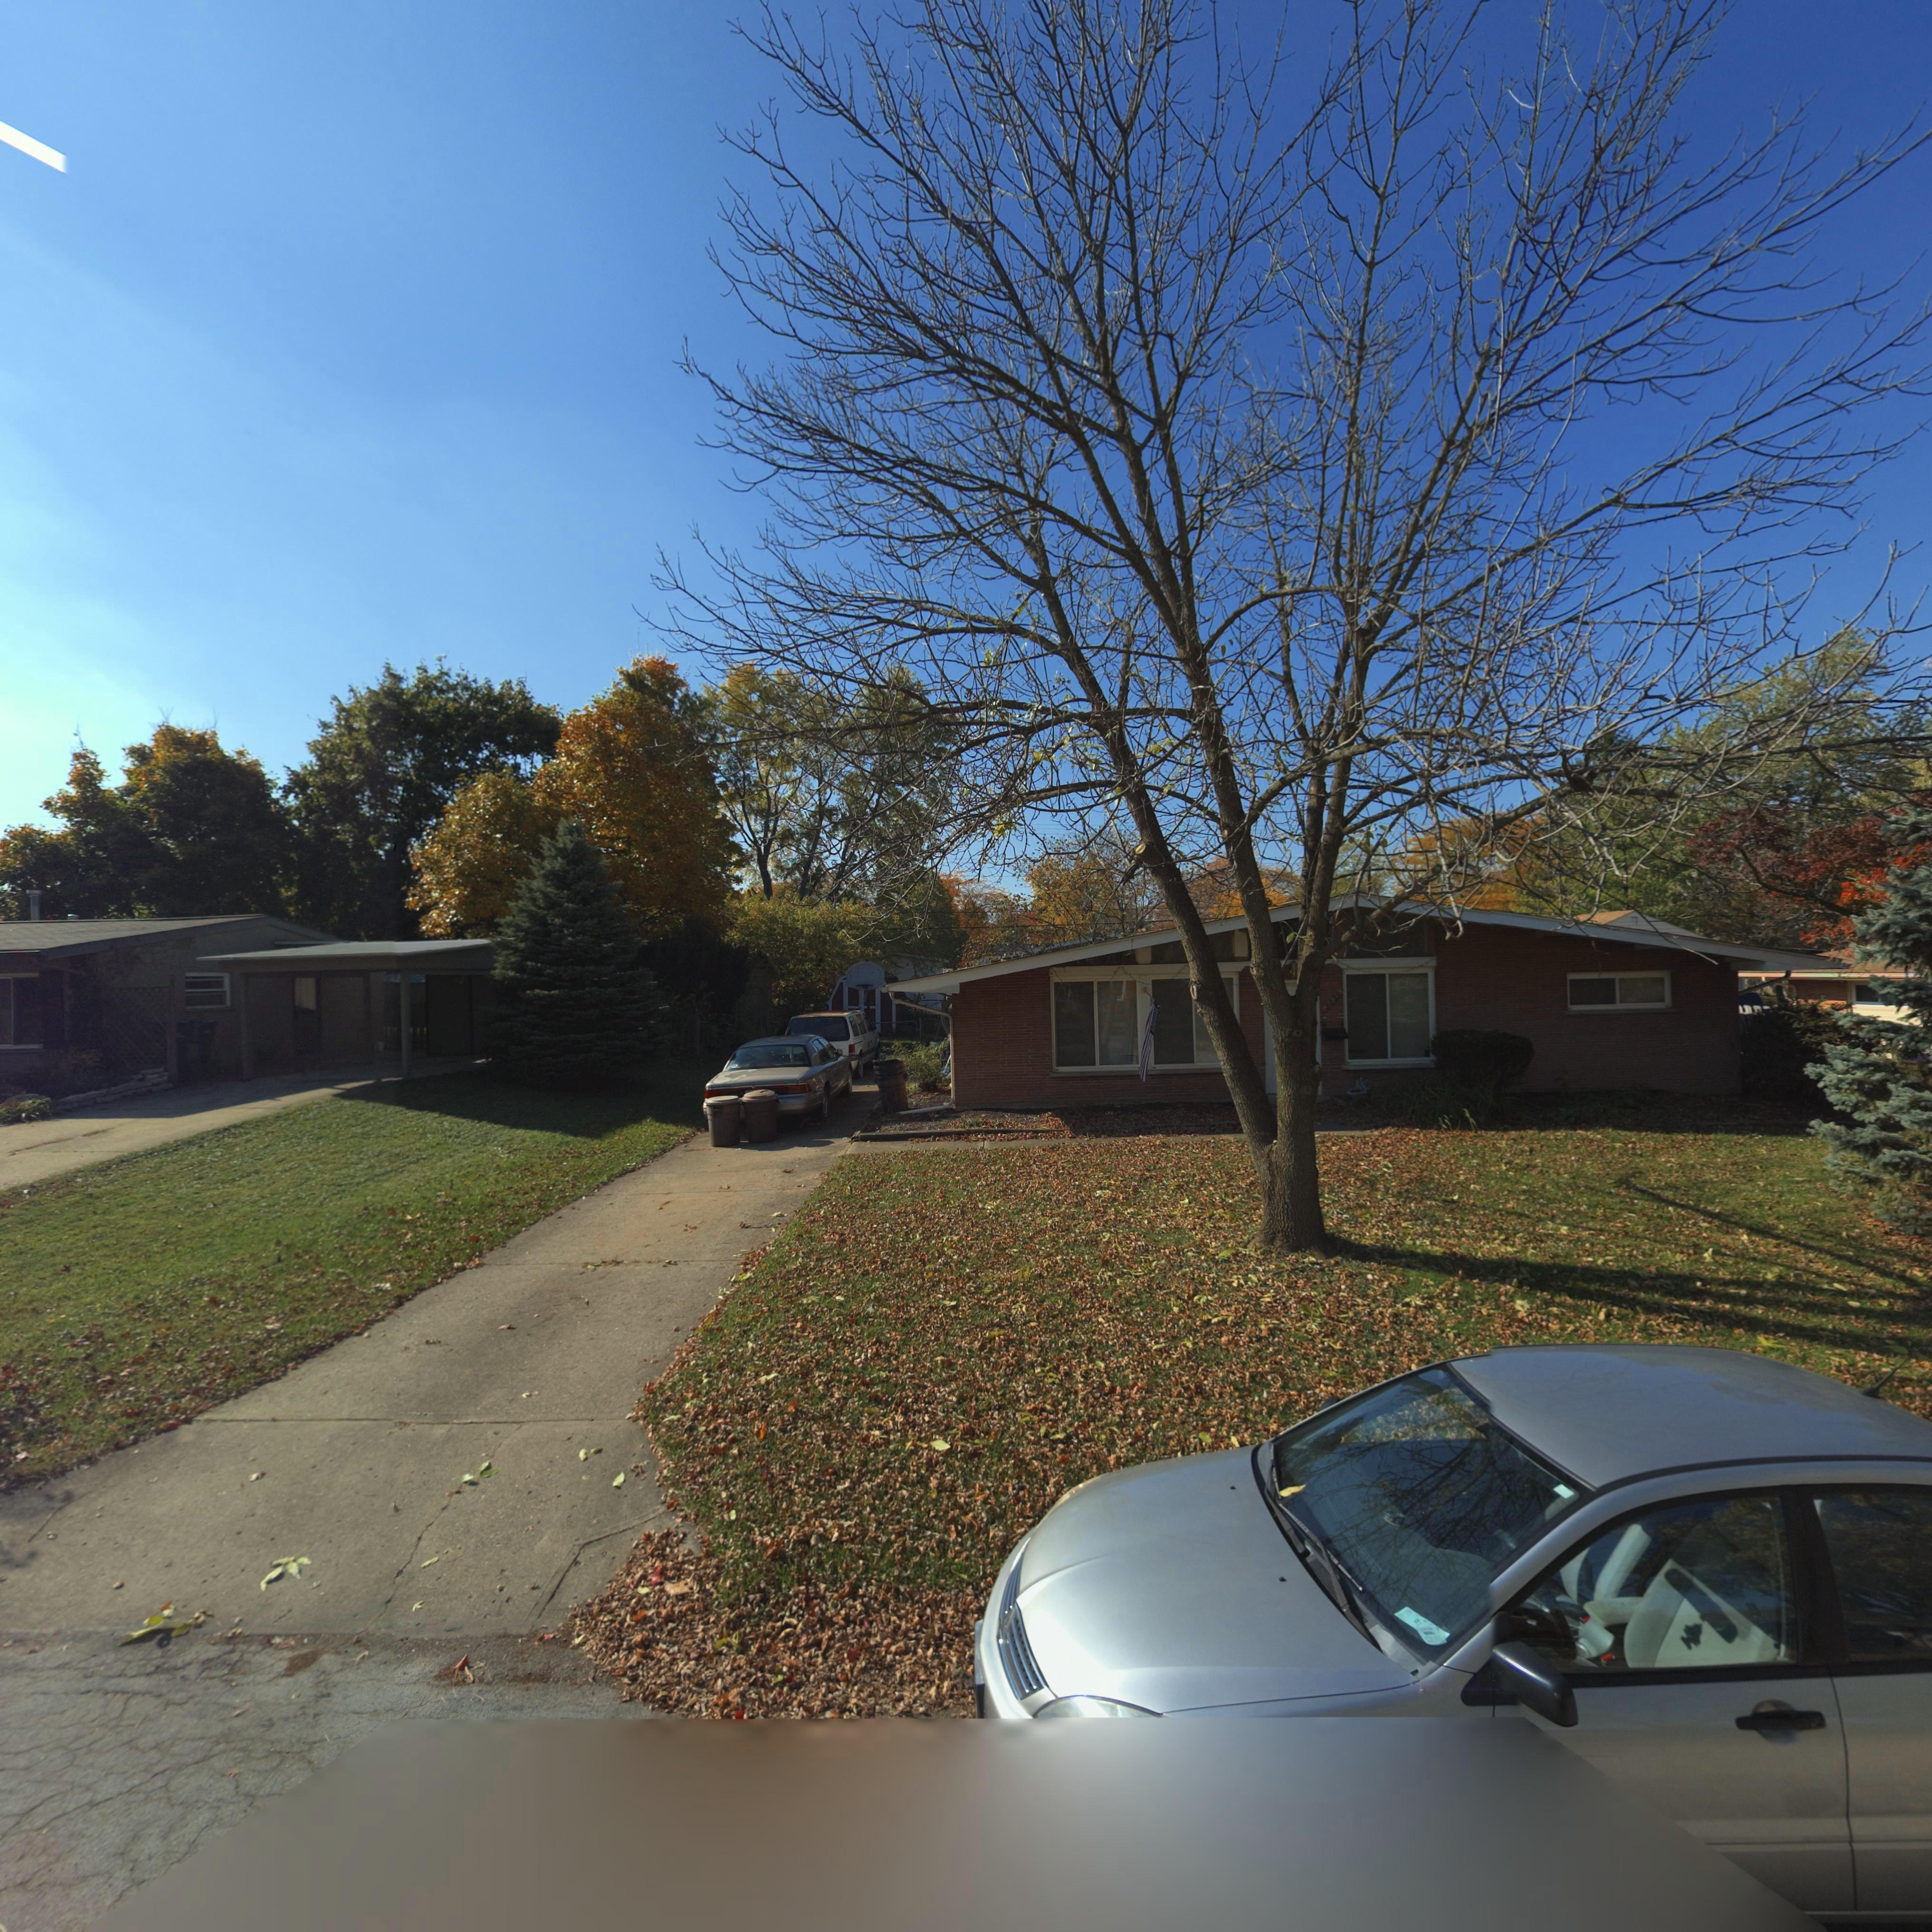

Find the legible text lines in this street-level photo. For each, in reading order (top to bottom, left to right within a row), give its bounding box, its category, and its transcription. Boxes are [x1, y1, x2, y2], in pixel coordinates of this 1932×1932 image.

[1323, 990, 1341, 1010] StreetNumber: 3839